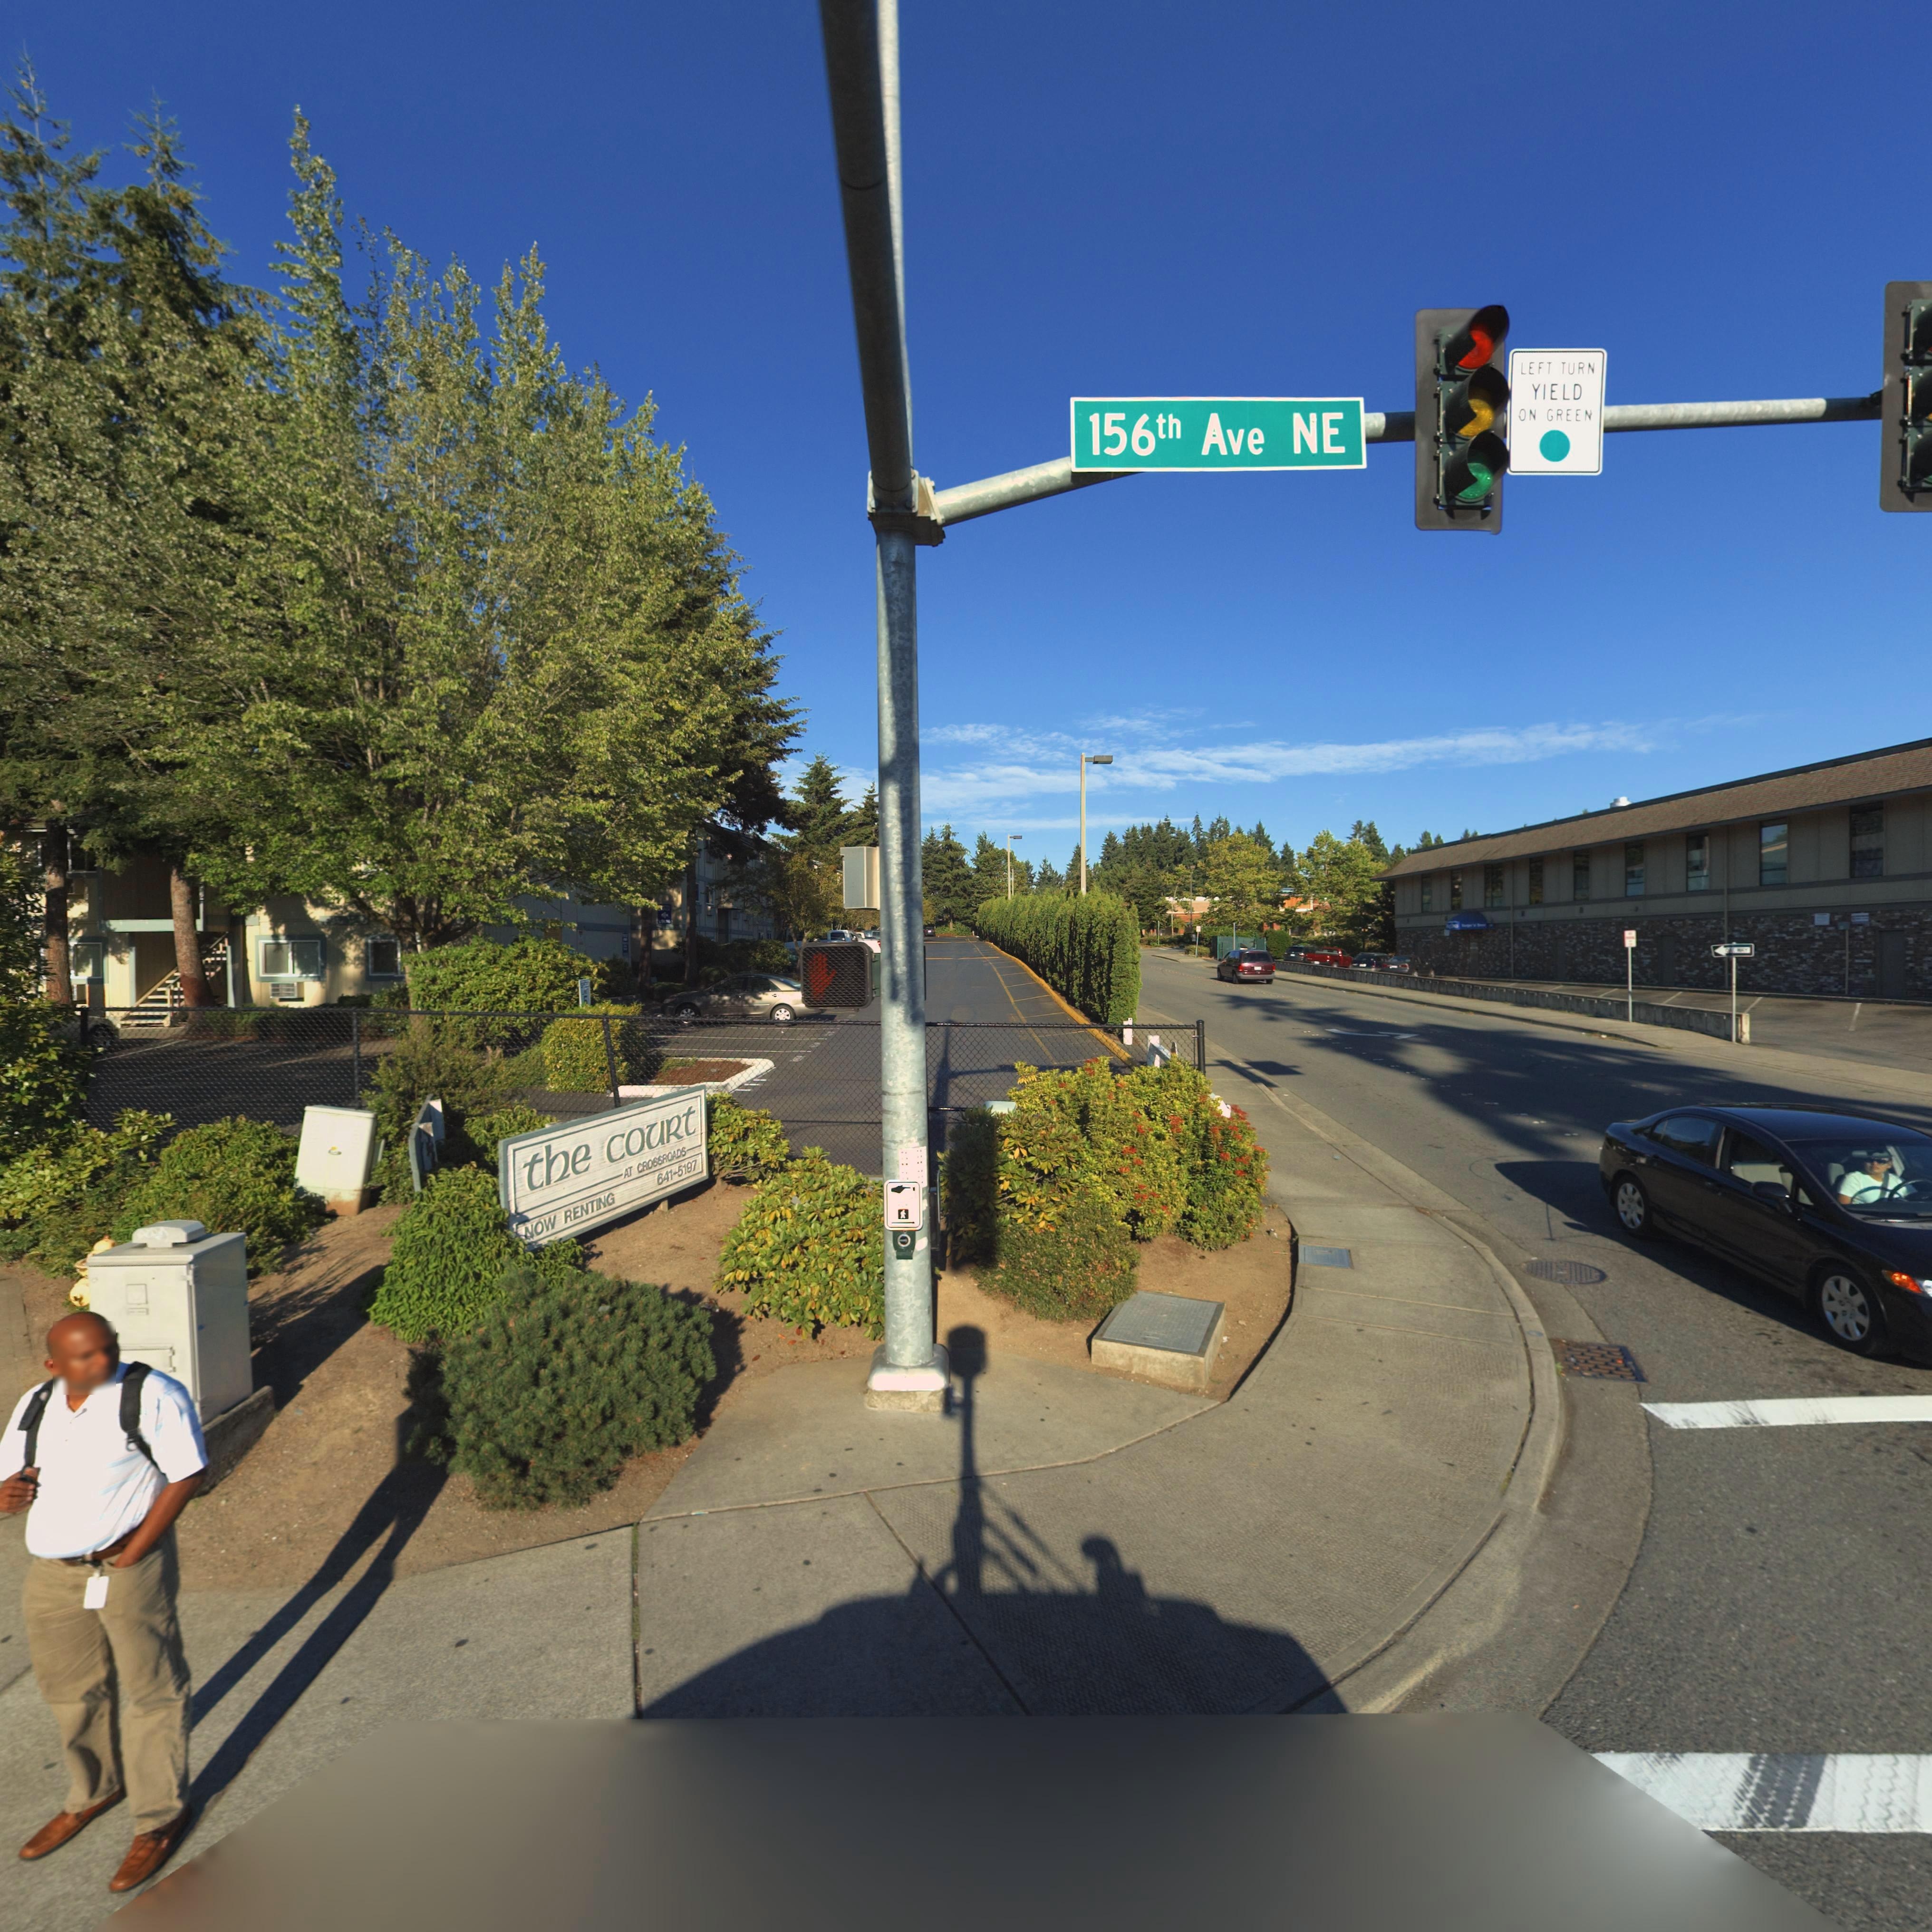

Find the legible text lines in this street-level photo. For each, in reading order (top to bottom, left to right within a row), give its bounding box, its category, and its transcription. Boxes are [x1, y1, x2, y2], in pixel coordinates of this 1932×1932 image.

[1082, 409, 1353, 458] StreetName: 156th Ave NE